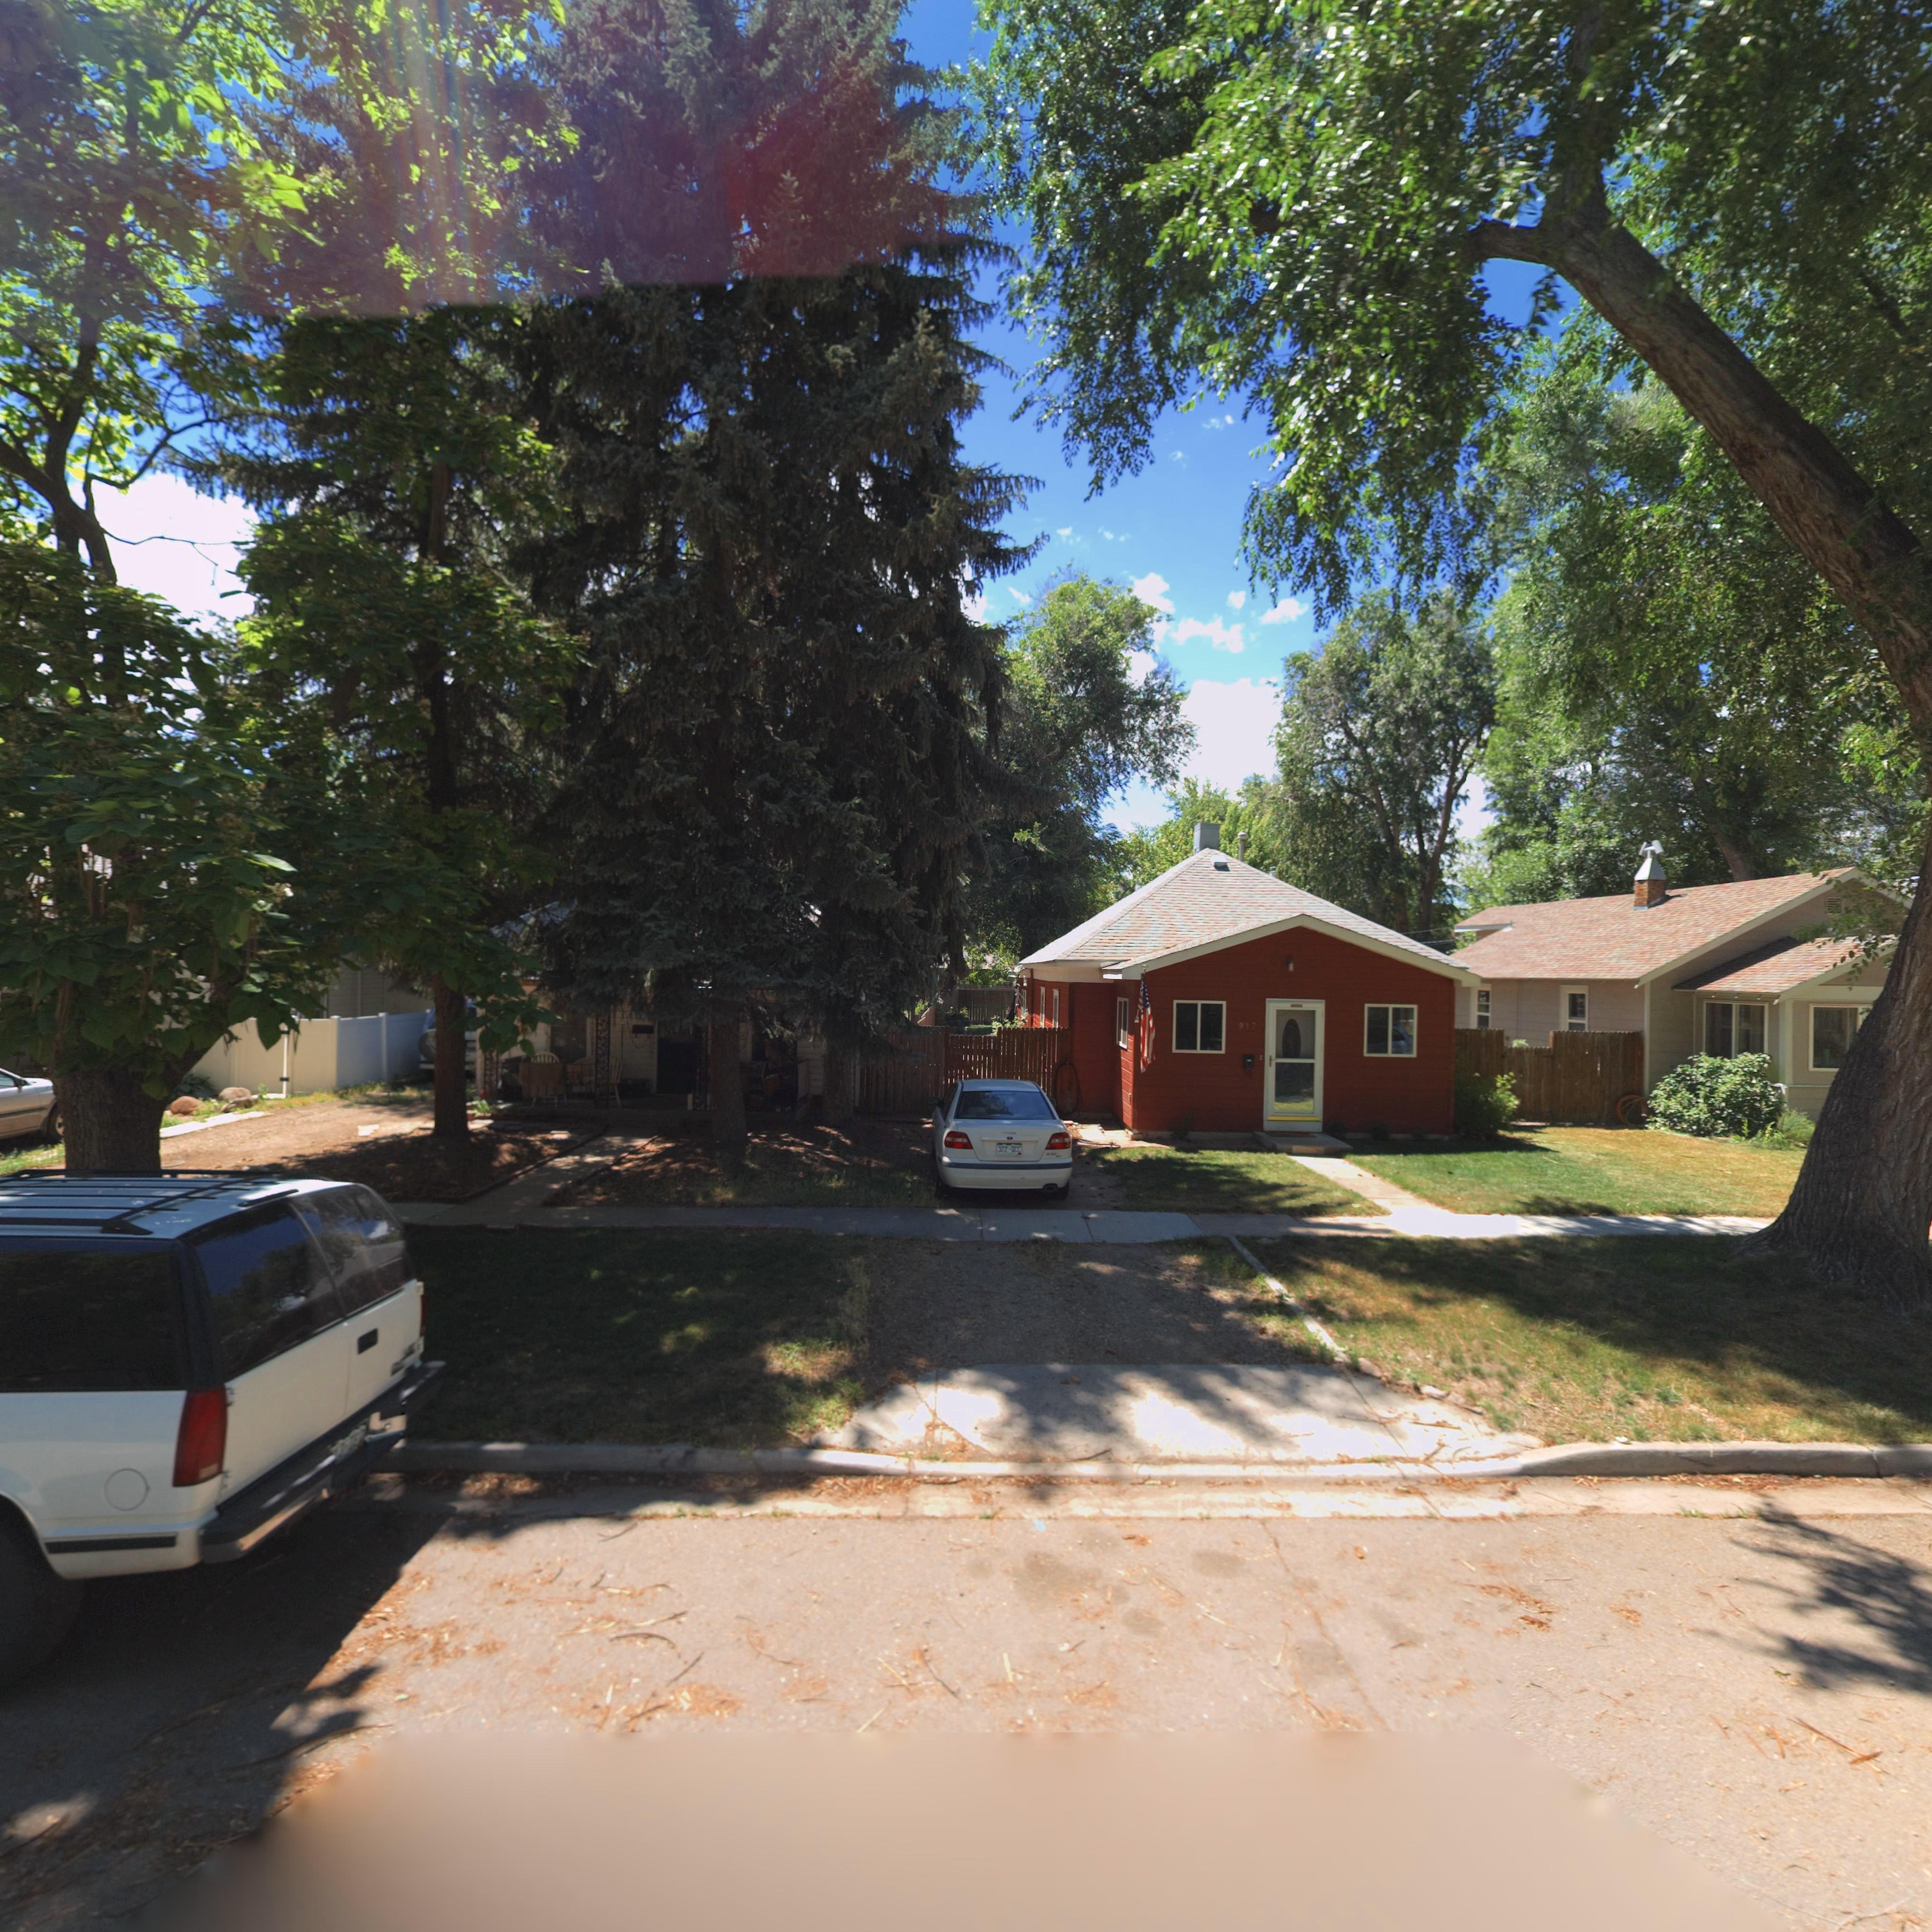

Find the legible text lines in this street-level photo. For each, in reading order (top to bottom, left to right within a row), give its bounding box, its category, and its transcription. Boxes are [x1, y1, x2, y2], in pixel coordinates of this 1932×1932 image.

[1238, 1022, 1256, 1029] StreetNumber: 917